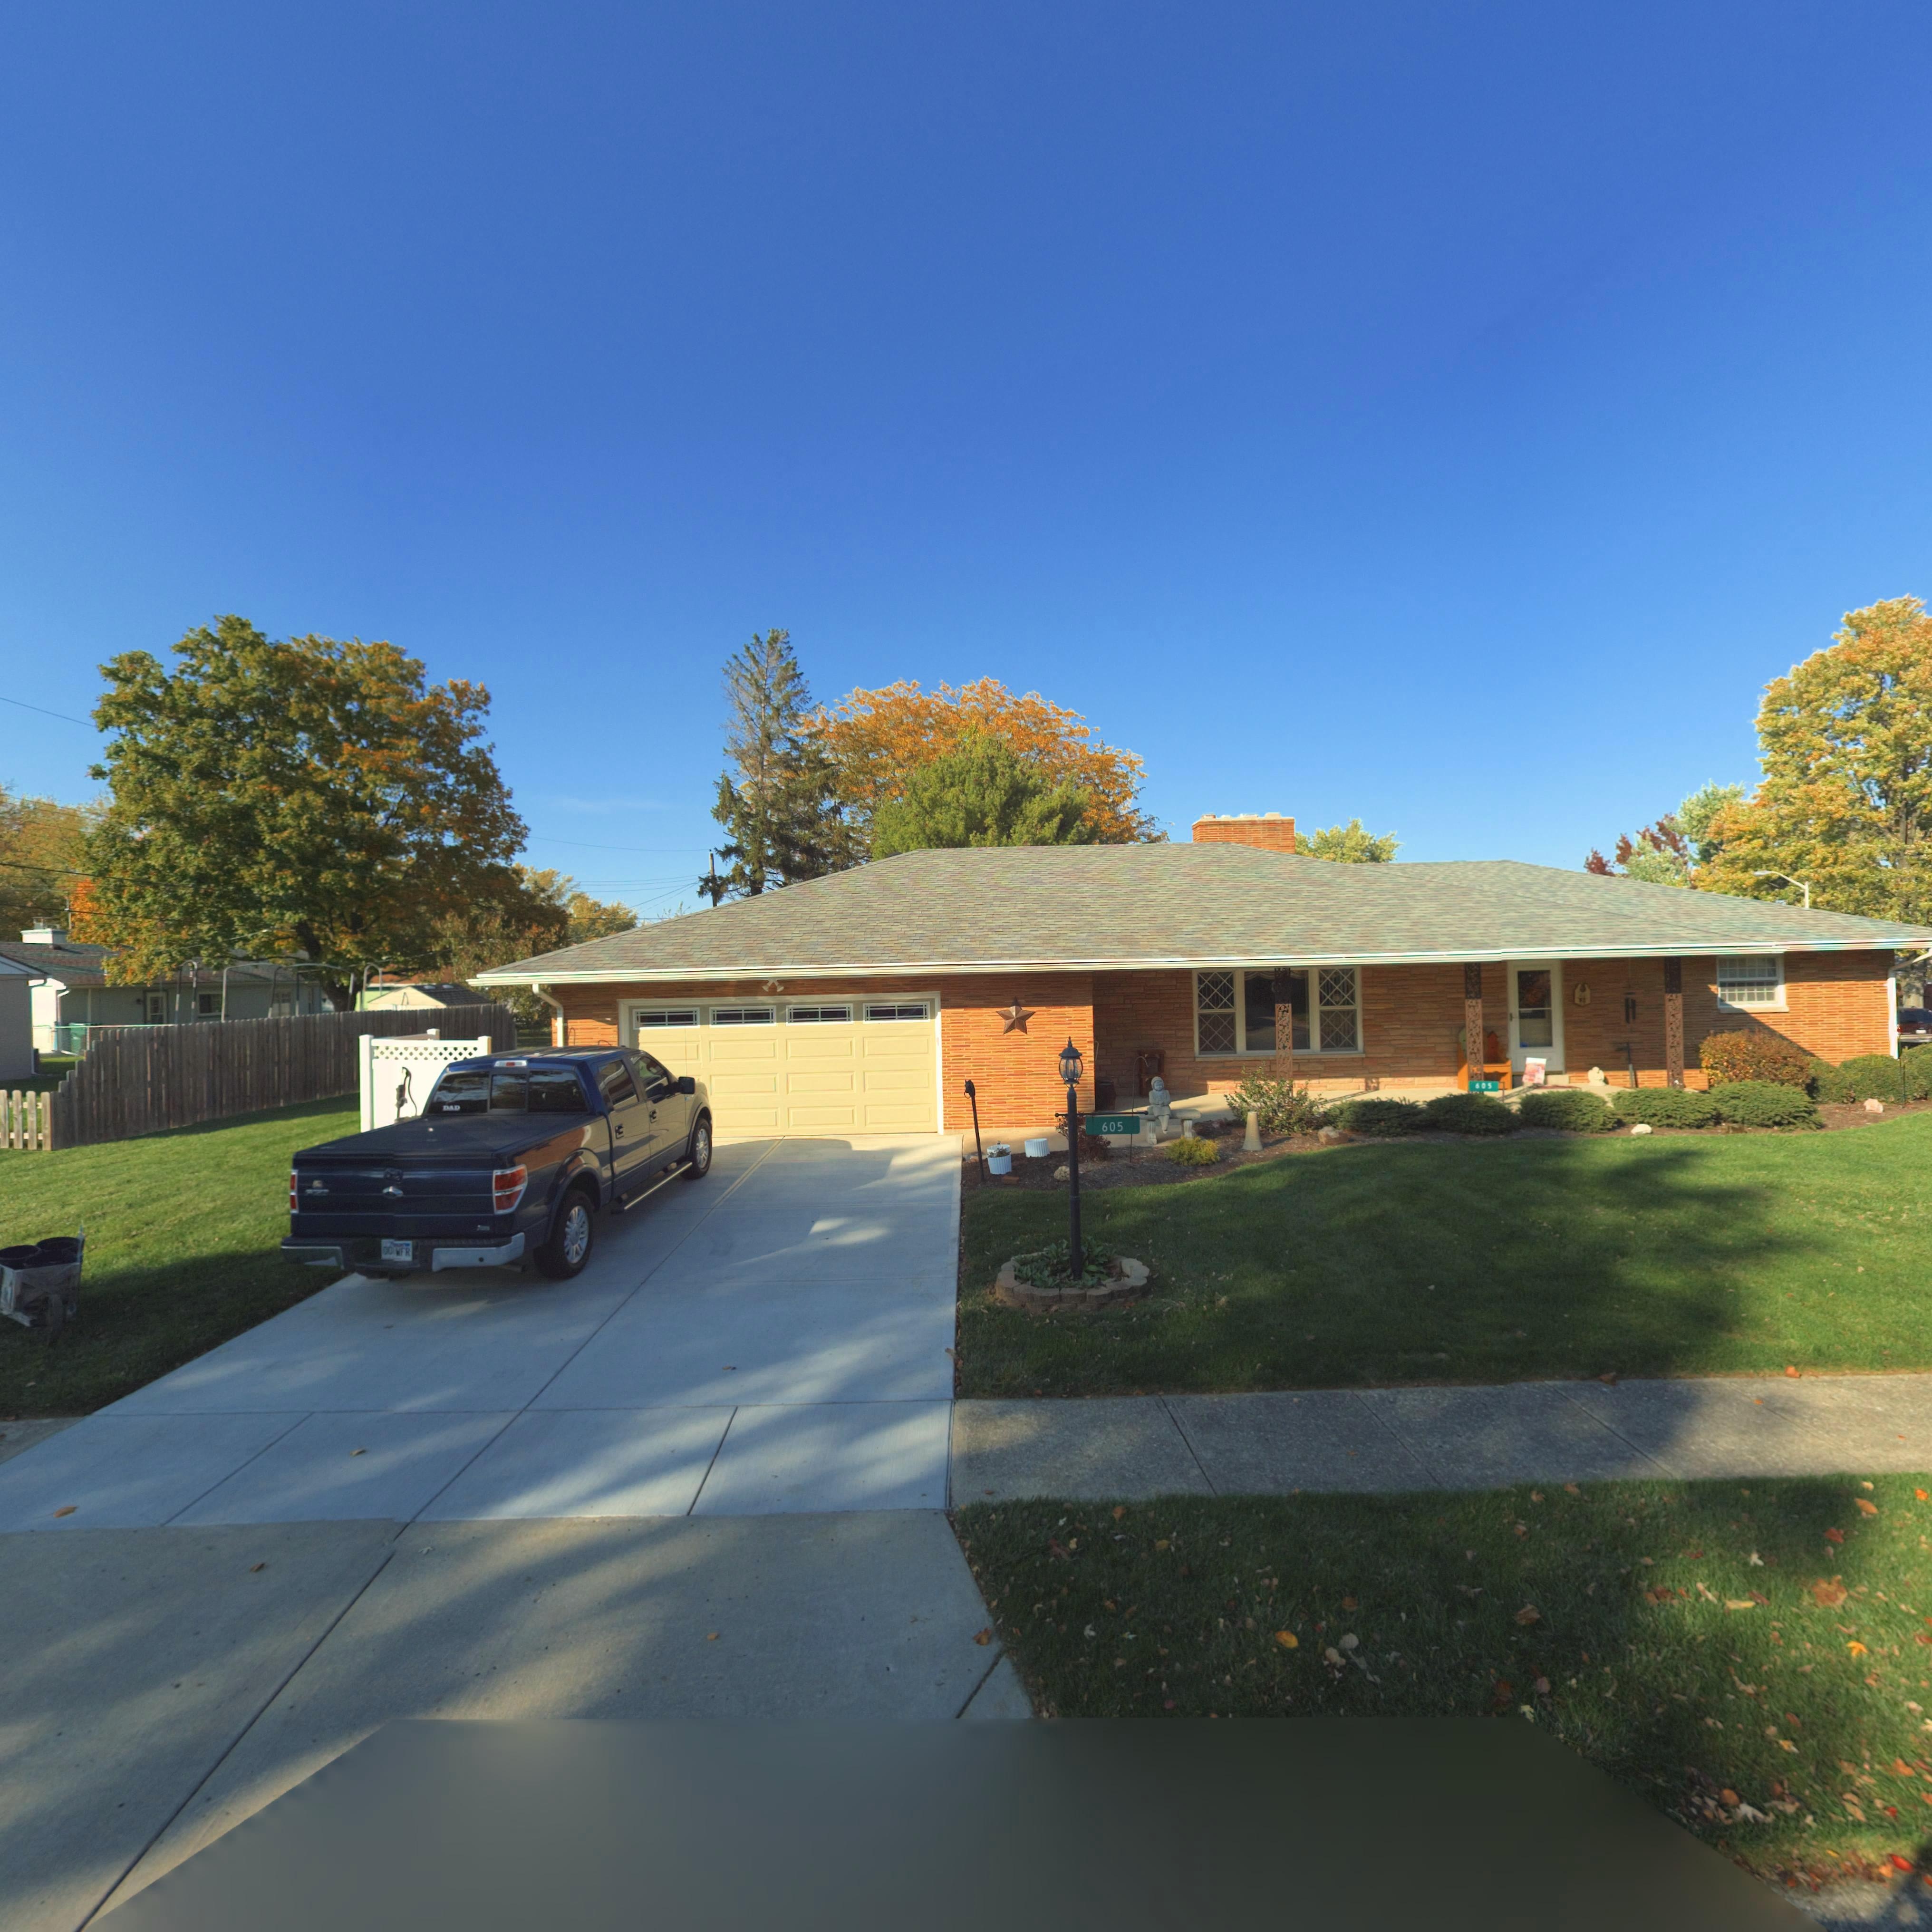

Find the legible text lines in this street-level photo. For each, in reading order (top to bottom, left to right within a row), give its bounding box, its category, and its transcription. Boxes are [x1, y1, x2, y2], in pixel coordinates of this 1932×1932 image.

[1474, 1082, 1493, 1090] StreetNumber: 605
[1101, 1121, 1124, 1132] StreetNumber: 605